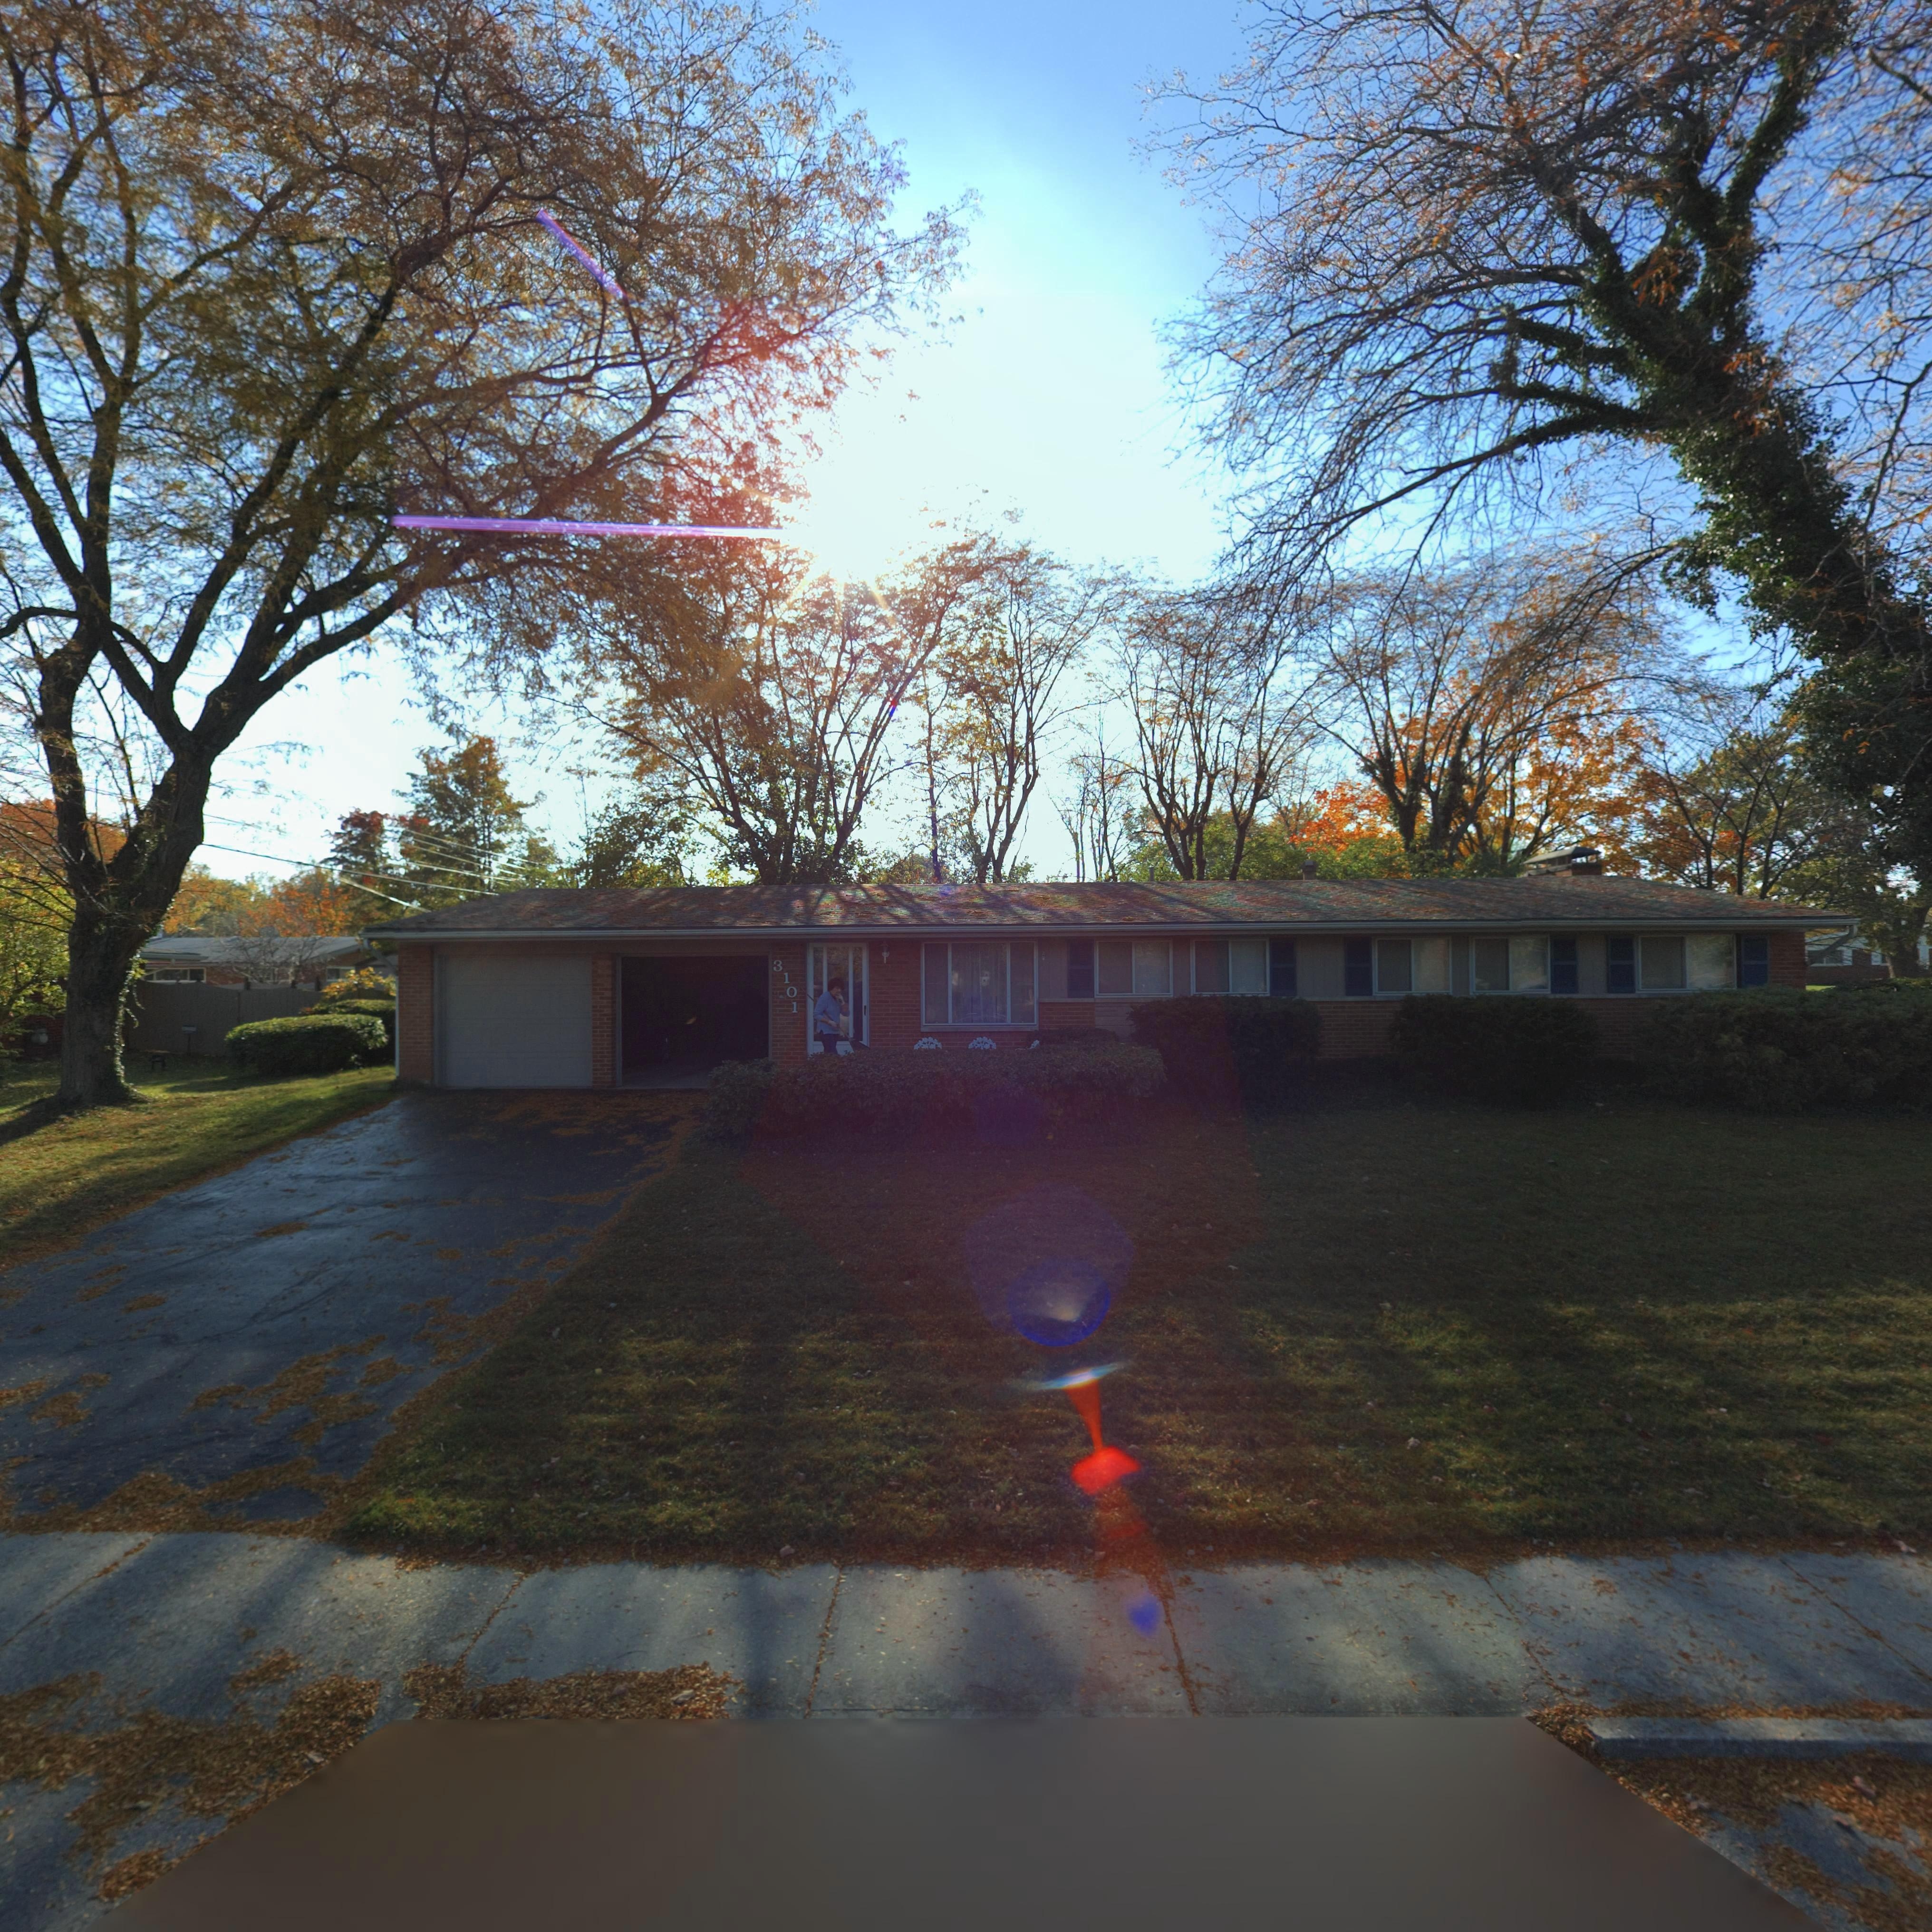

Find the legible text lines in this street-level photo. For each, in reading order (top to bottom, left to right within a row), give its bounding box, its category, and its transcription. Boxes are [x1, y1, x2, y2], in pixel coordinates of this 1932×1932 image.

[772, 959, 799, 1014] StreetNumber: 3101